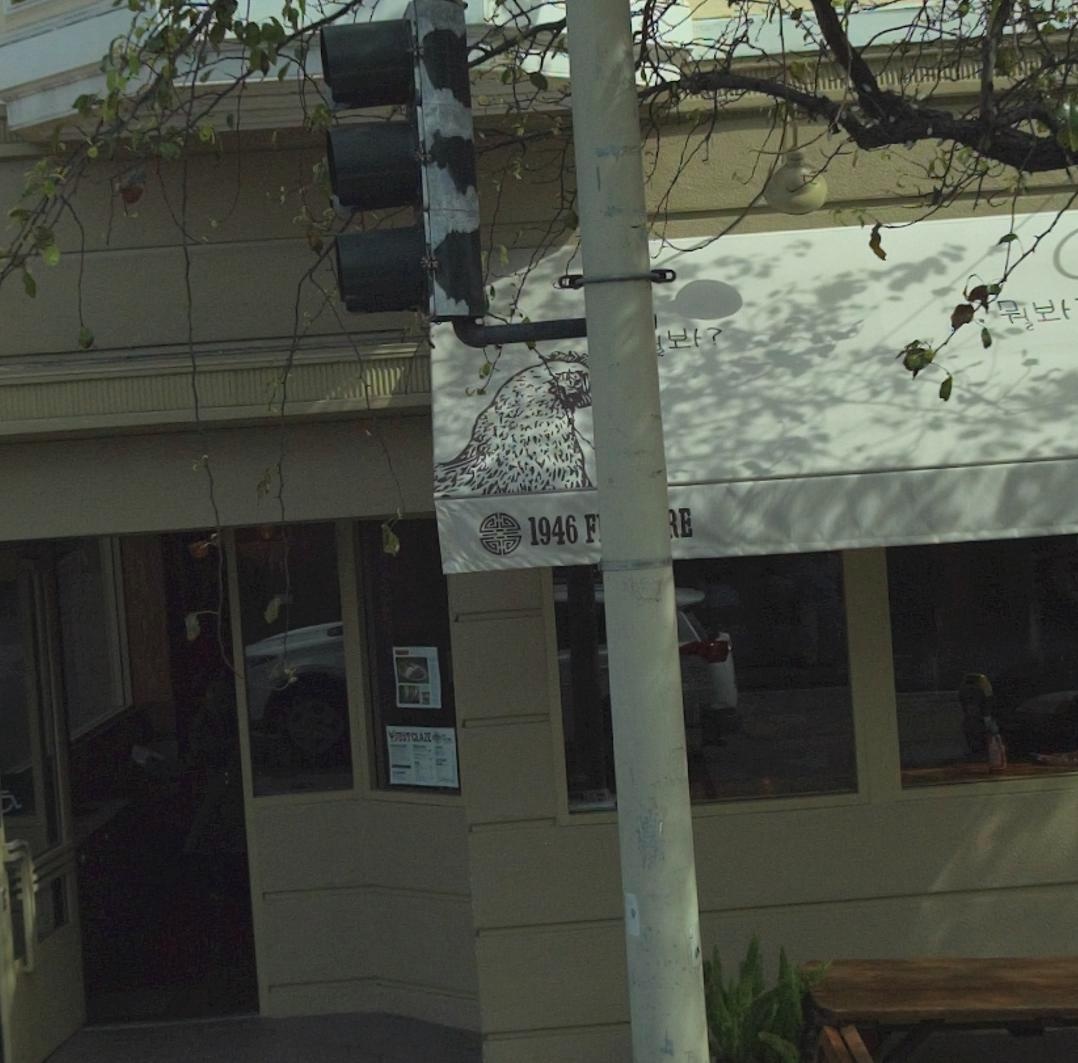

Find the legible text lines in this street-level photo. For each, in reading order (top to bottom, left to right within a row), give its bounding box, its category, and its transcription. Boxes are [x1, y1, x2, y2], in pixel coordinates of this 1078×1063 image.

[525, 512, 580, 547] StreetNumber: 1946
[580, 511, 599, 547] StreetName: F
[676, 506, 695, 540] StreetName: E